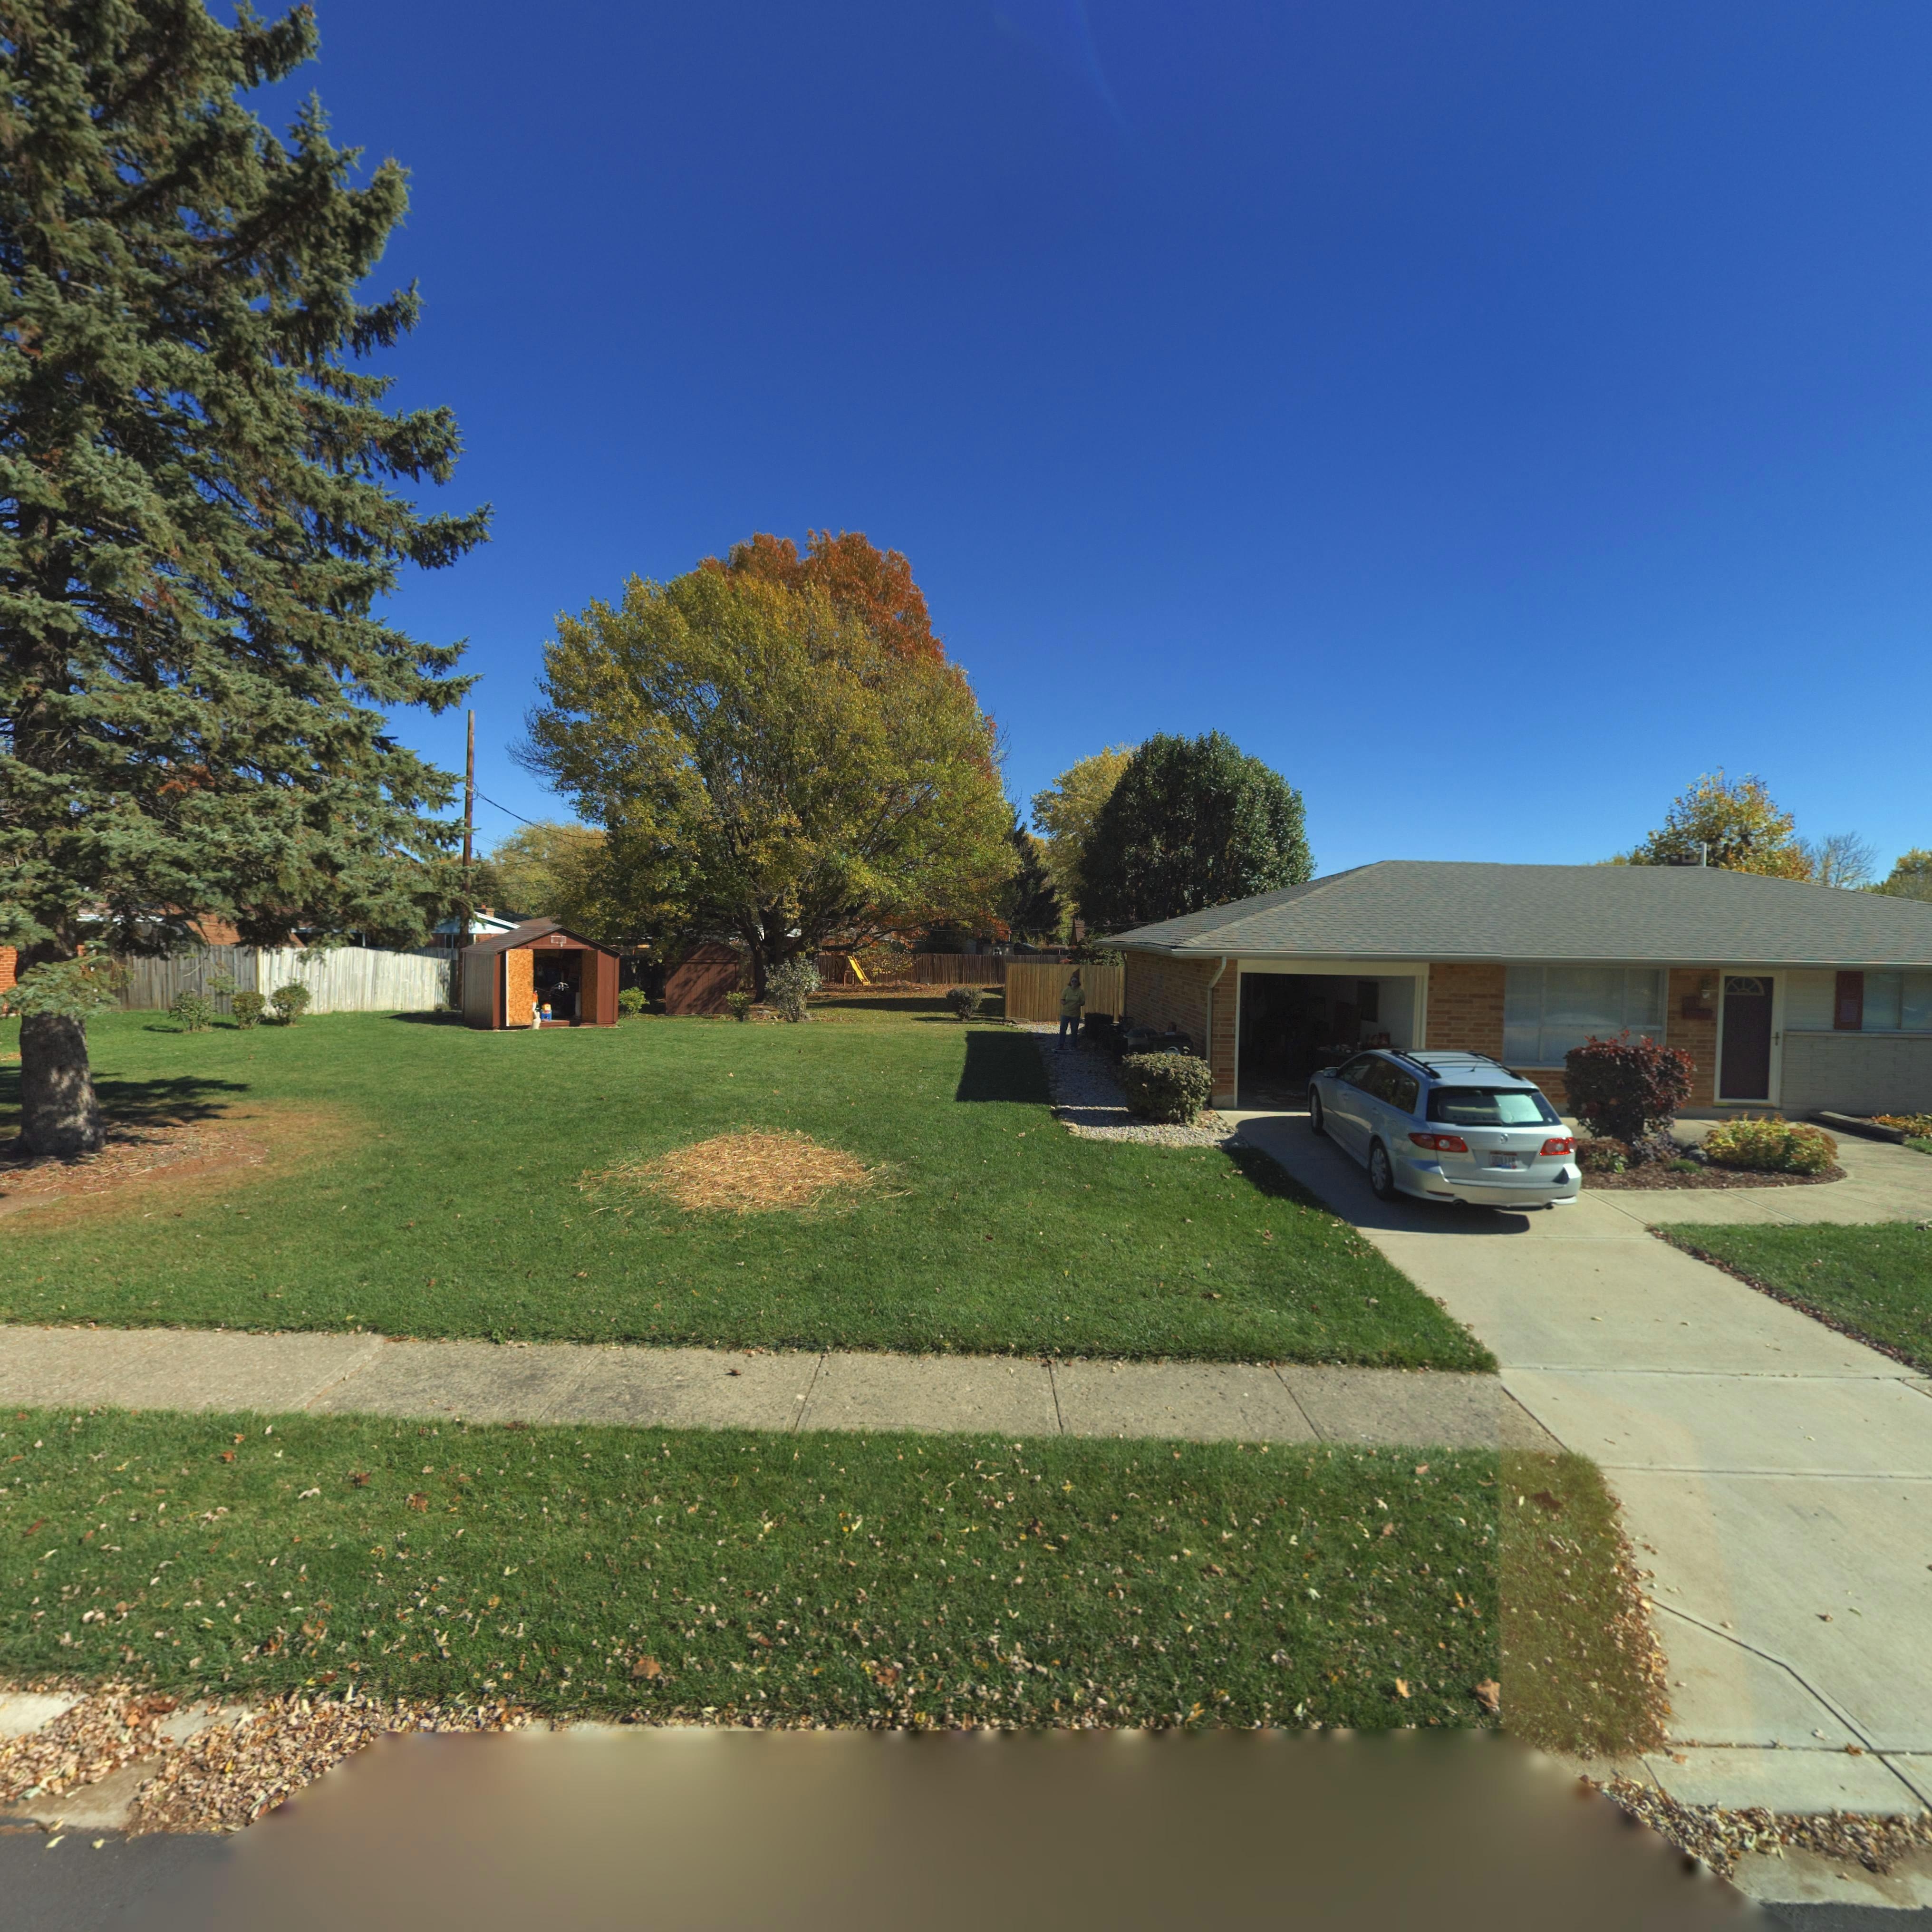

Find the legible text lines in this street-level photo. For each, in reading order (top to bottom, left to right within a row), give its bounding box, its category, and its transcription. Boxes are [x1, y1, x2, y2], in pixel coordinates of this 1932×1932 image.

[1683, 998, 1699, 1006] StreetNumber: 9**